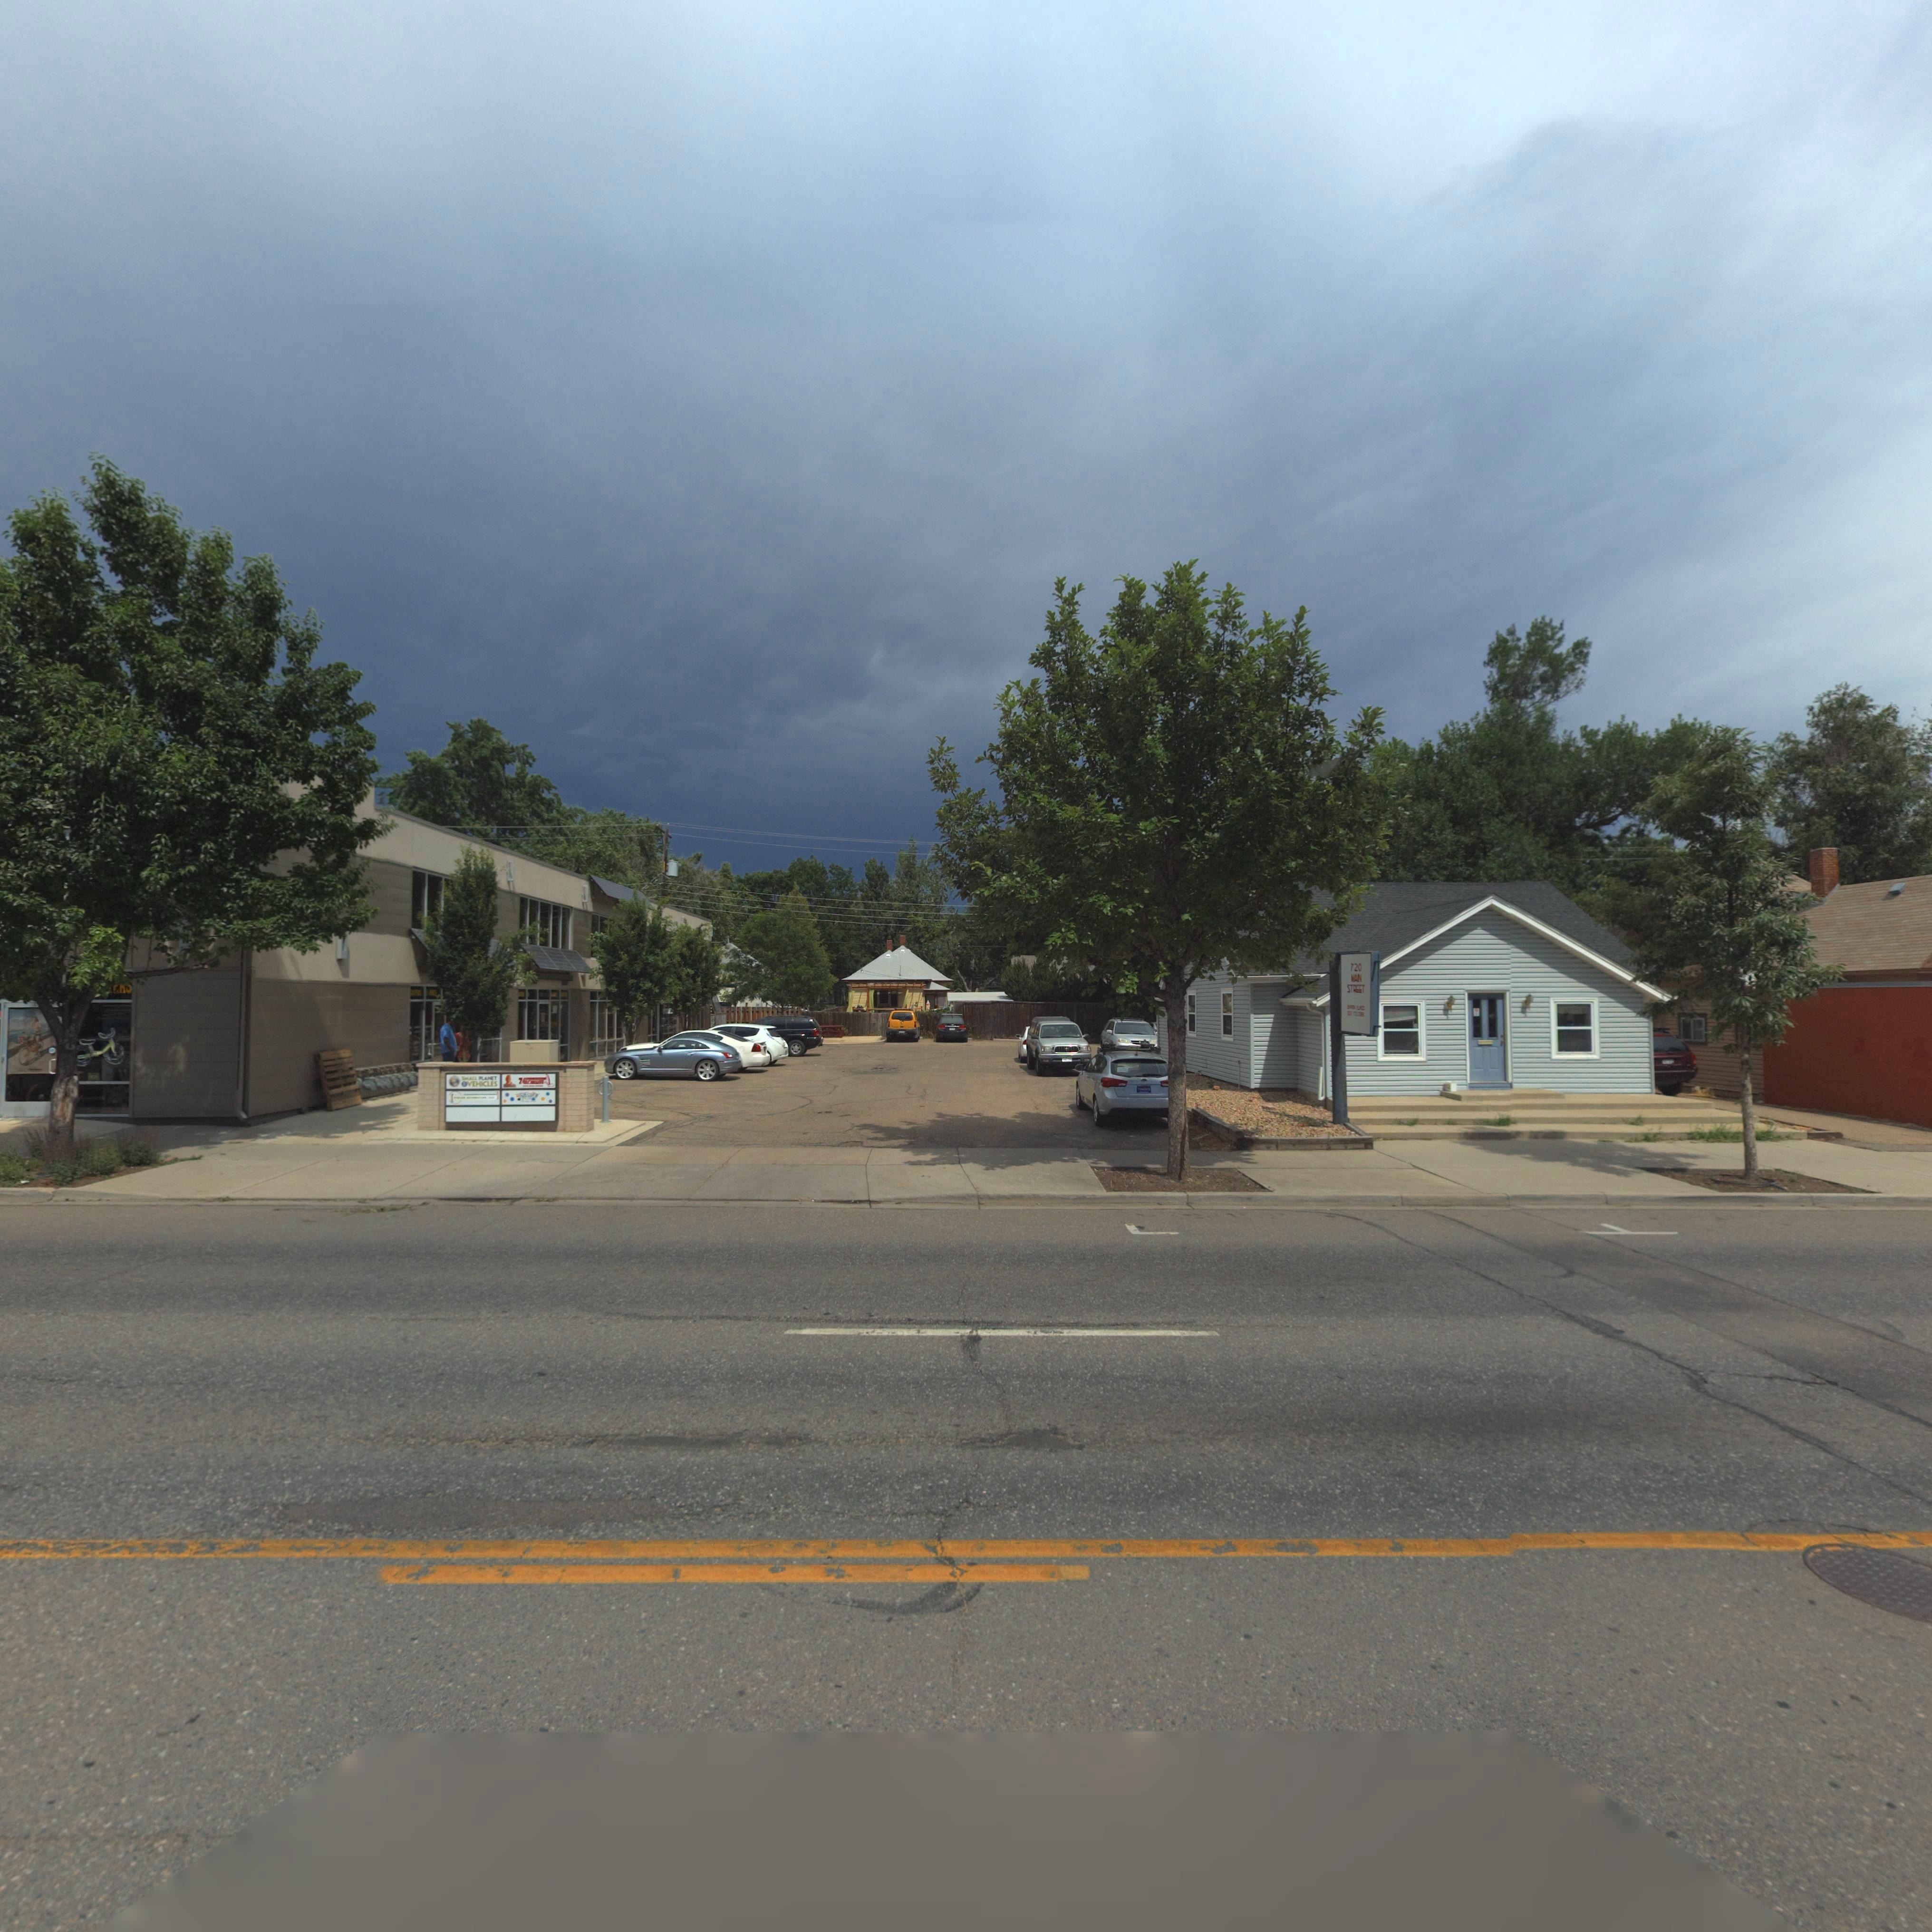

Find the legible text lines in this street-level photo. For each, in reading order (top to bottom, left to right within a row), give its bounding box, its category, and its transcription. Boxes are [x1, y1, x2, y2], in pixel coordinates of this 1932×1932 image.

[1350, 962, 1362, 971] StreetNumber: 720
[1351, 973, 1362, 982] StreetName: MAIN
[1347, 983, 1365, 994] StreetName: STREET
[461, 1075, 497, 1080] StreetNumber: SMALLPLANET
[463, 1081, 498, 1087] BusinessName: EVEHICLES
[518, 1077, 544, 1084] BusinessName: VACUM
[454, 1096, 494, 1099] BusinessName: F****** ********